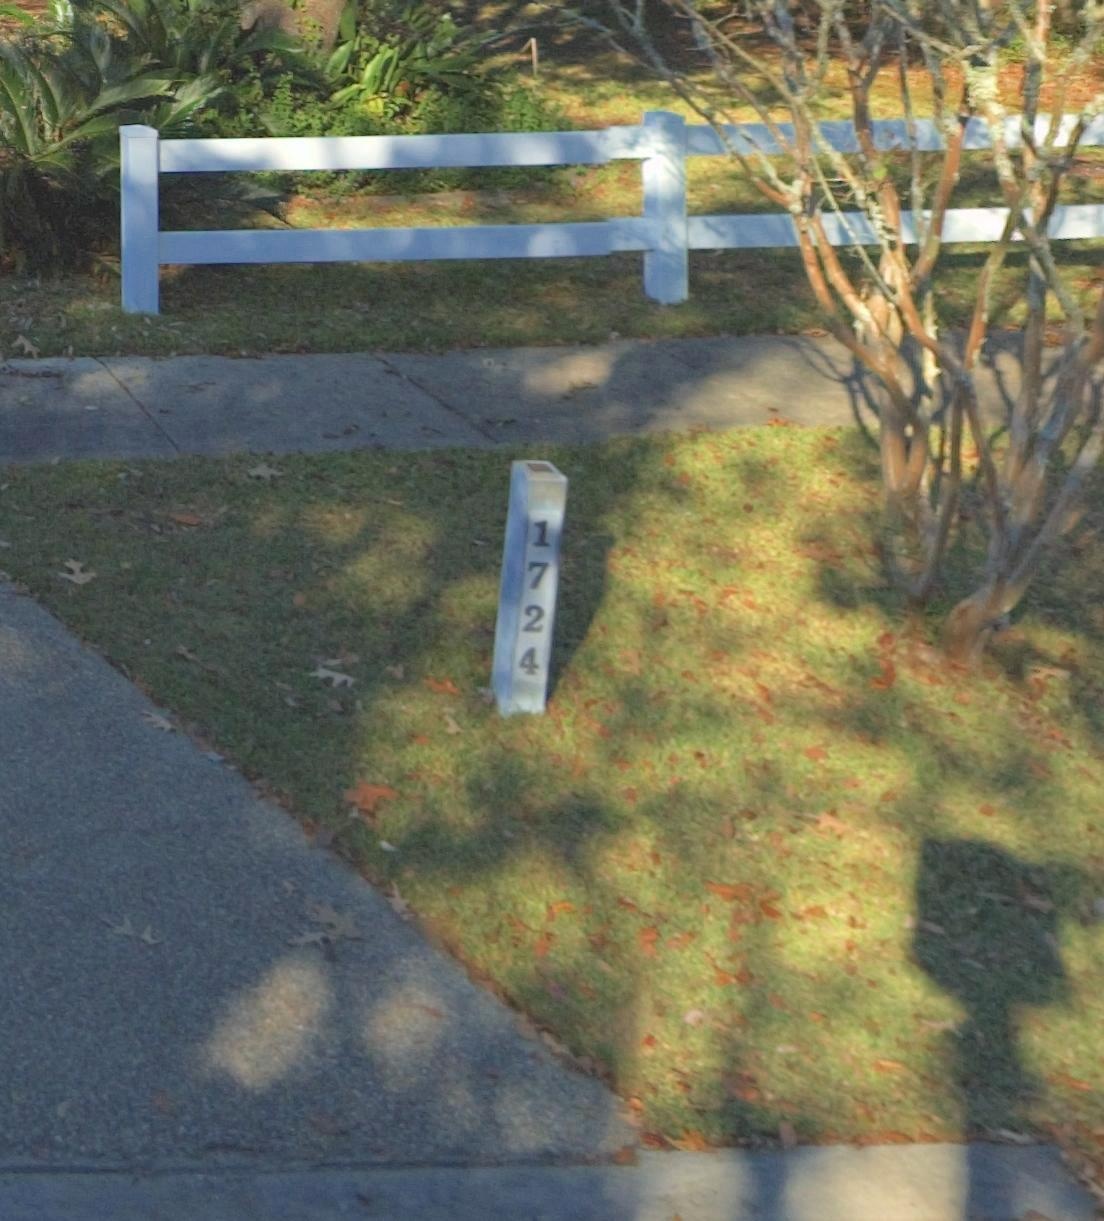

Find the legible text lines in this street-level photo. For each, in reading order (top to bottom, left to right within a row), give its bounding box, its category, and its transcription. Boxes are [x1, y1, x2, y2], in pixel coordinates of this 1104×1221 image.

[511, 512, 557, 683] StreetNumber: 1724